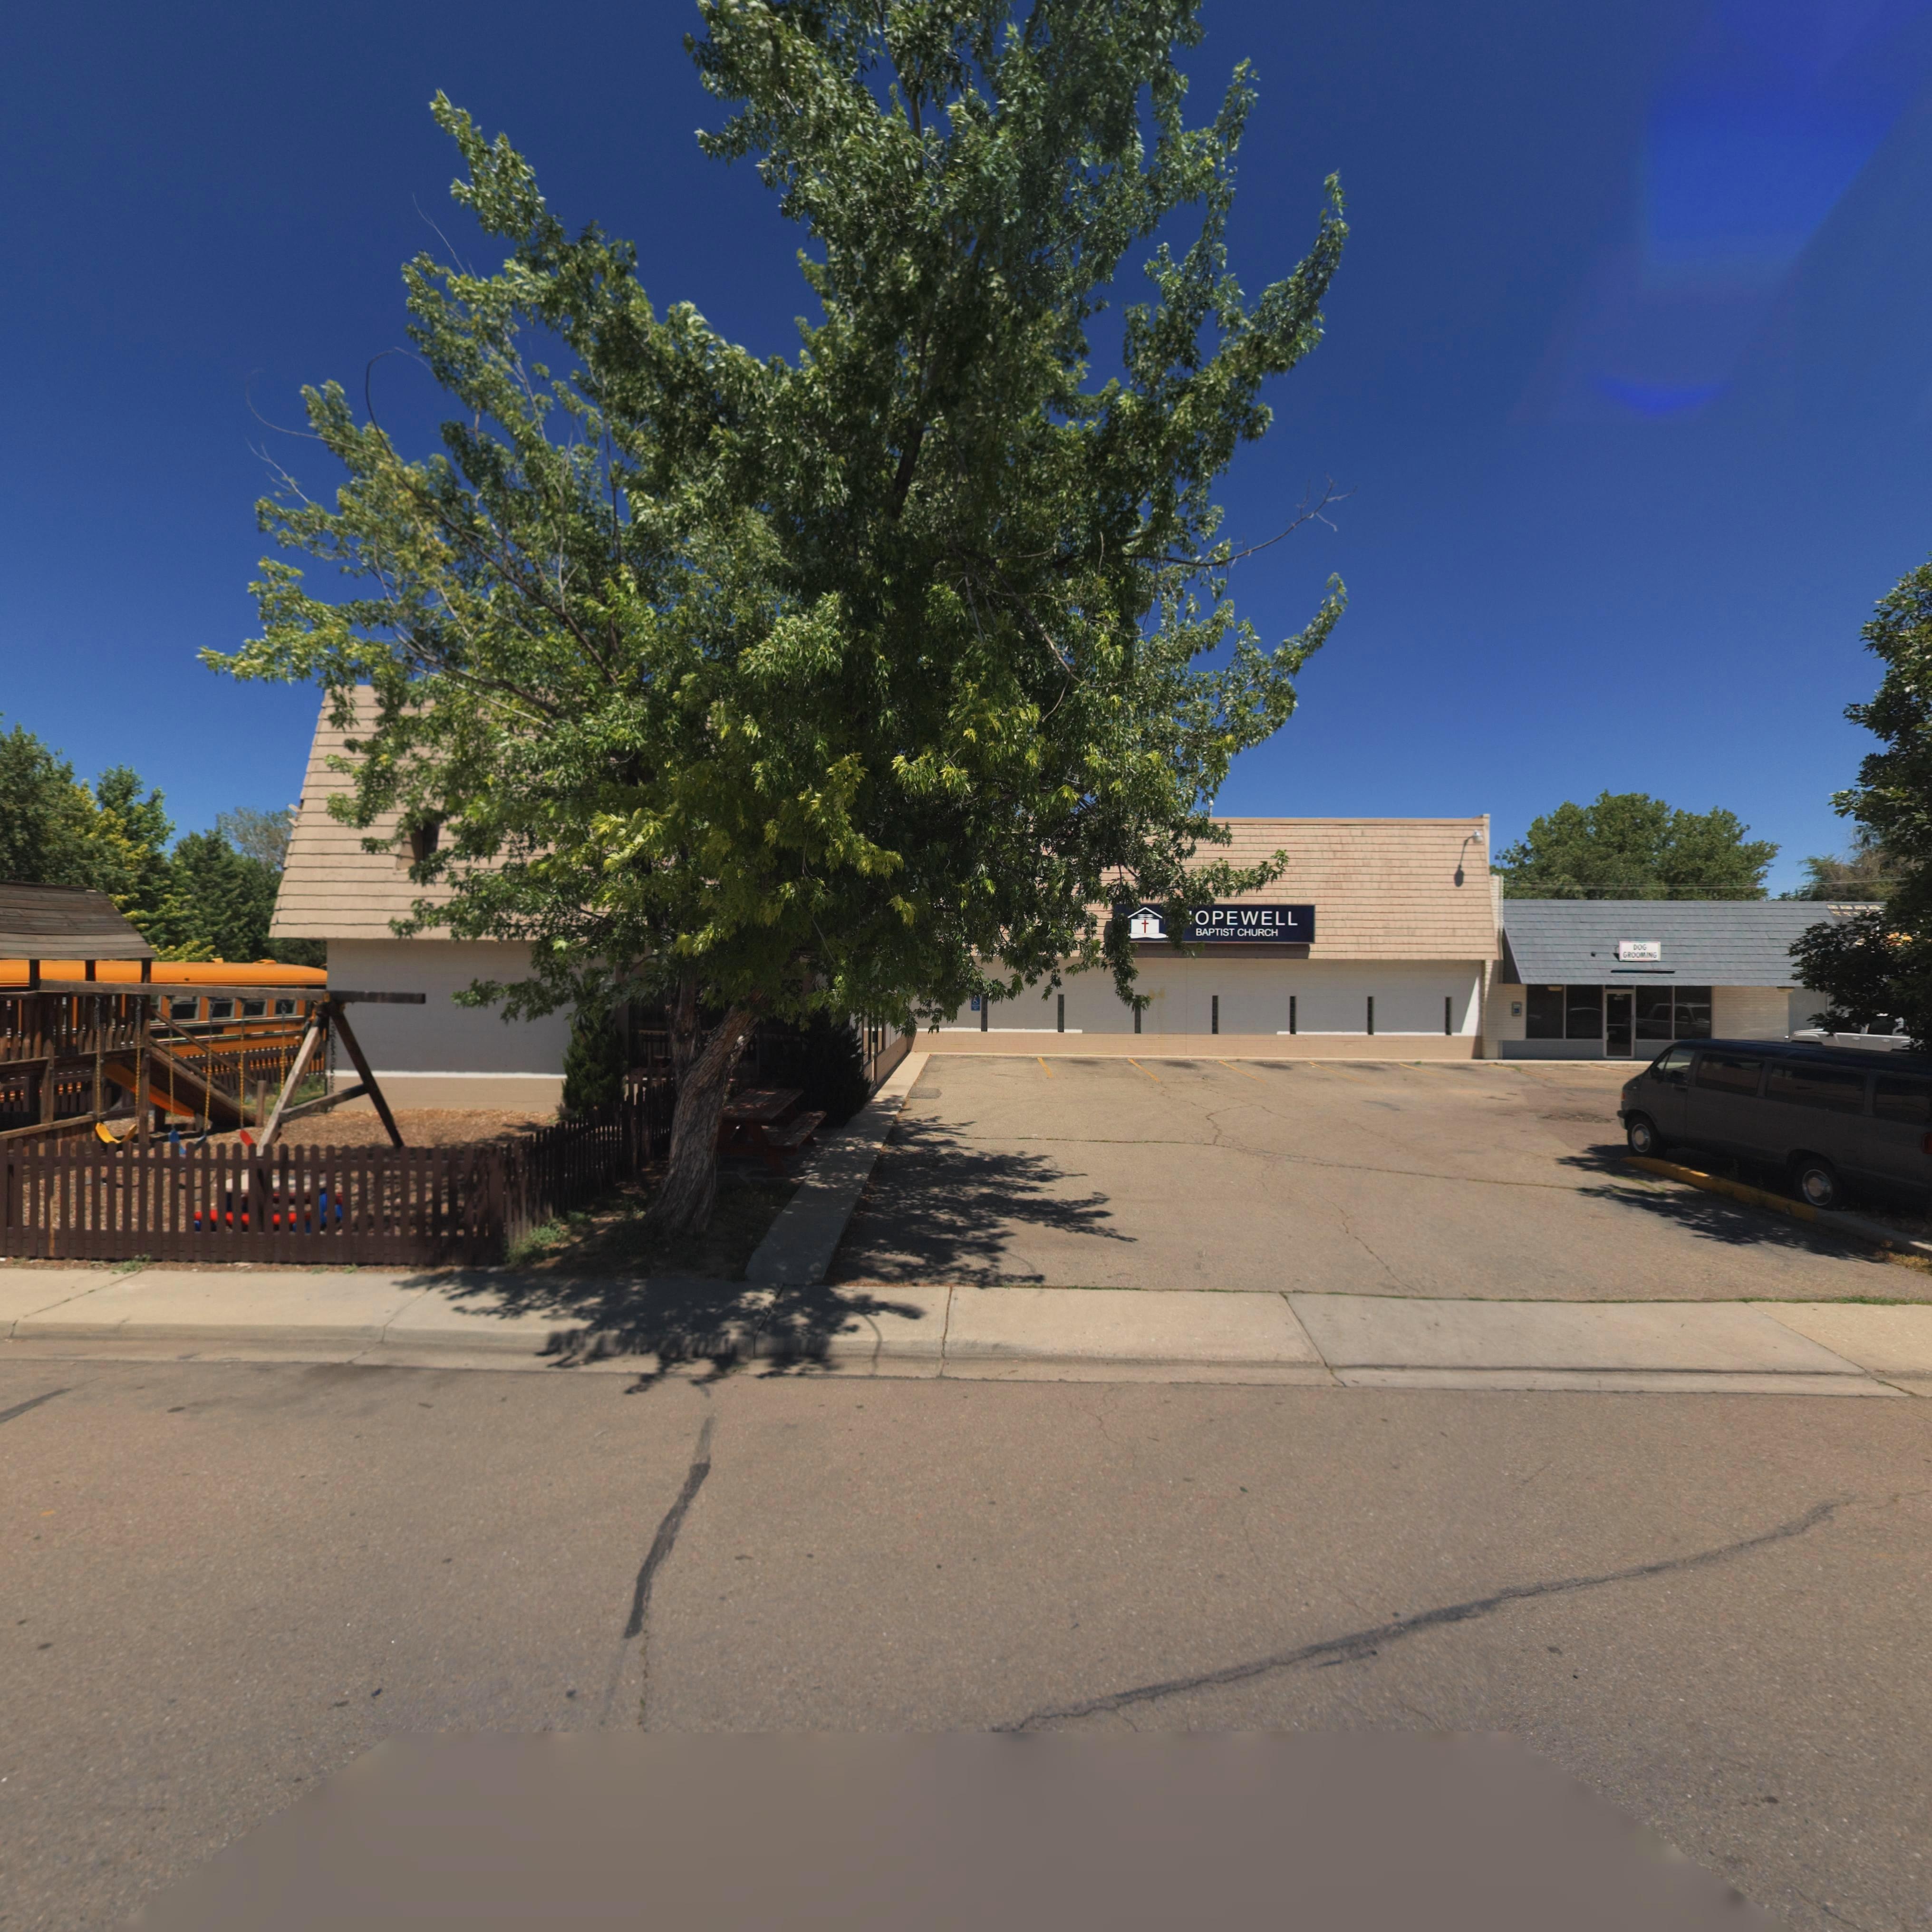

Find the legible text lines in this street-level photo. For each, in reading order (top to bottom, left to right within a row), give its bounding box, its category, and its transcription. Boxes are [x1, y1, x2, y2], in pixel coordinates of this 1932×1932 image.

[1188, 910, 1298, 926] BusinessName: *OPEWELL
[1195, 927, 1278, 937] BusinessName: BAPTIST CHURCH